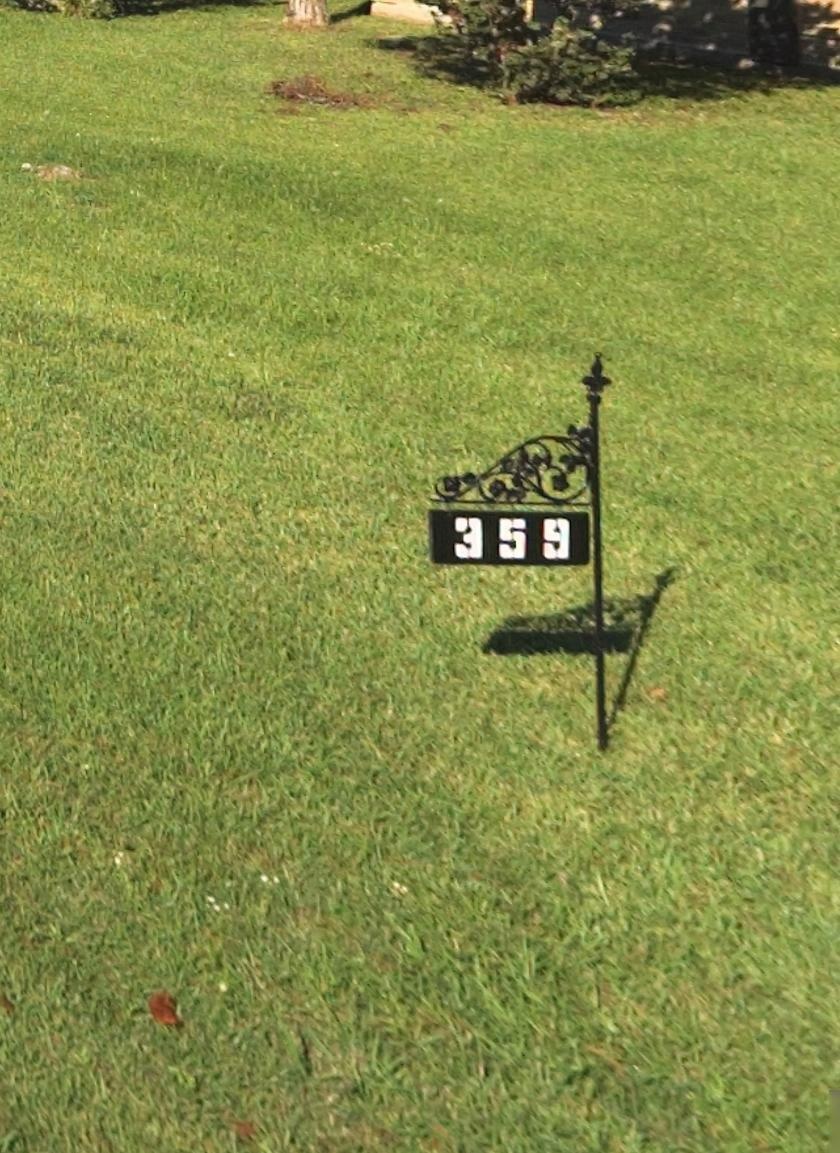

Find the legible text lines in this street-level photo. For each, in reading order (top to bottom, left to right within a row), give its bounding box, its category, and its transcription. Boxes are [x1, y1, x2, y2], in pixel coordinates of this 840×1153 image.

[452, 515, 573, 562] StreetNumber: 359